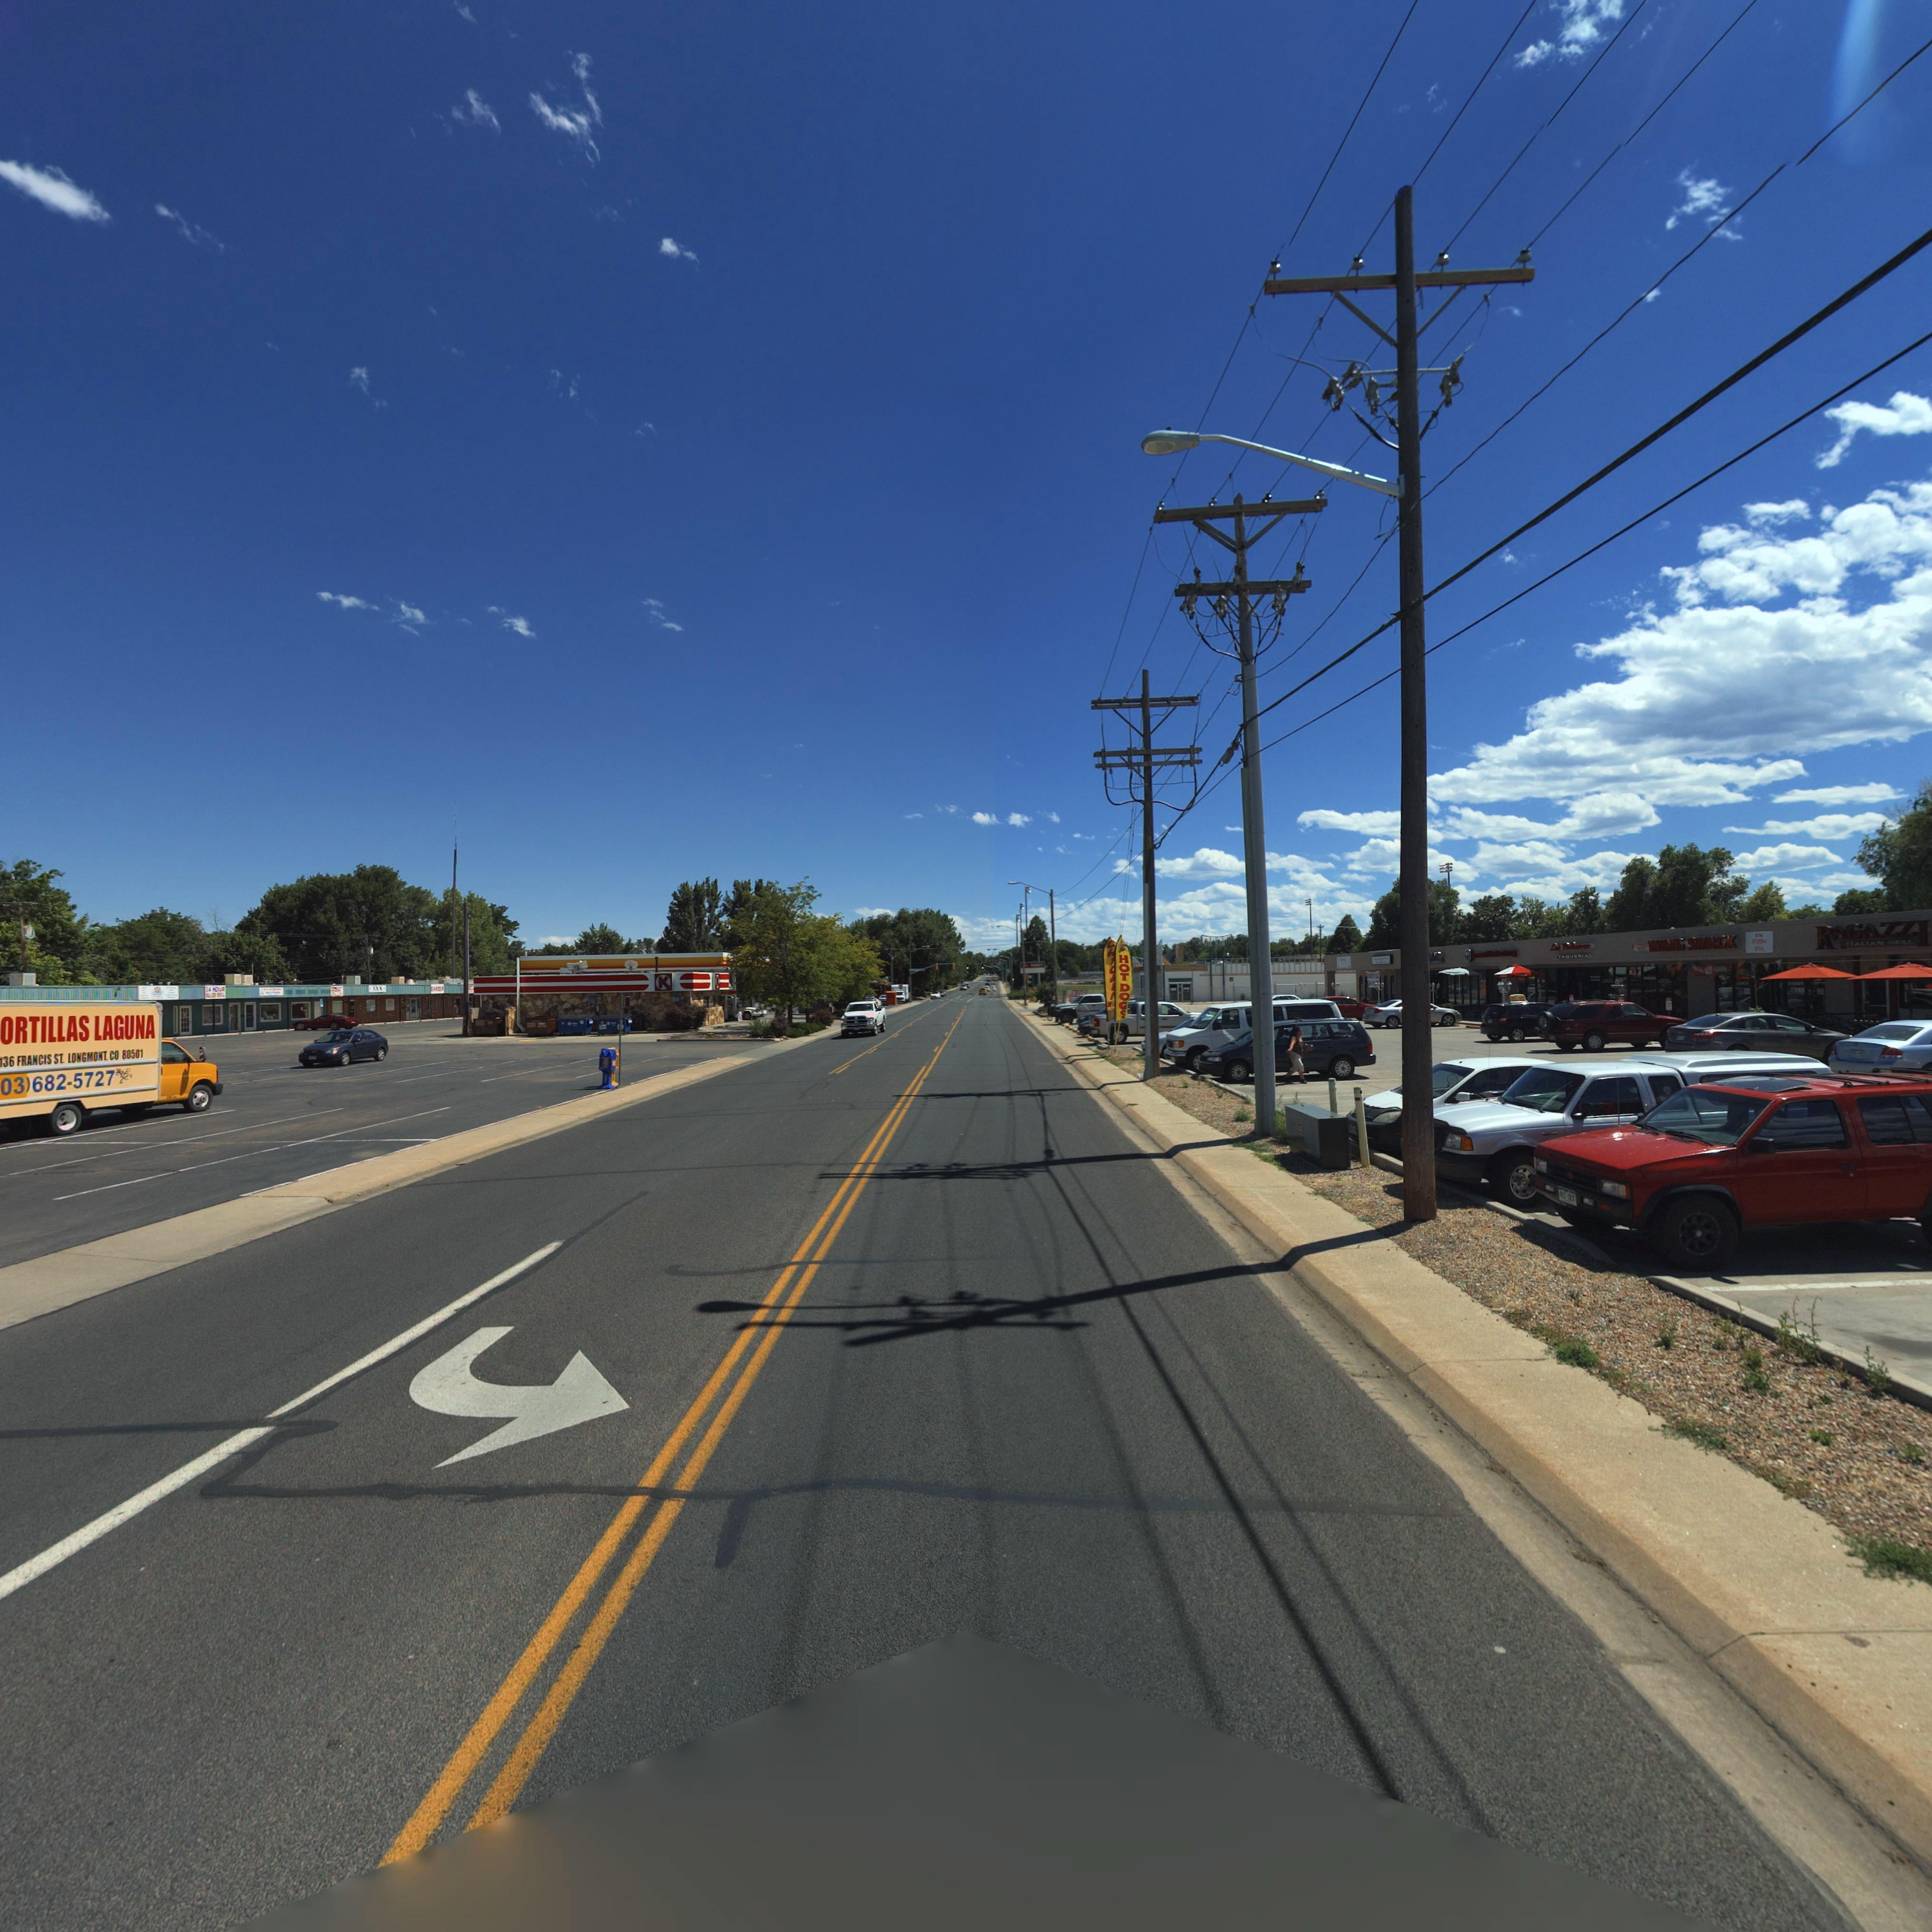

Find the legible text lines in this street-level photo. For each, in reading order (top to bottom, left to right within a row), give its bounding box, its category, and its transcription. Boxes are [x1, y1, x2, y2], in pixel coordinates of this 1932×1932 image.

[1815, 918, 1930, 949] BusinessName: RAGGAZZI
[1549, 940, 1593, 951] BusinessName: Las Palmeras
[1647, 935, 1738, 951] BusinessName: WING SHACK
[1558, 954, 1588, 959] BusinessName: TAQUERIA
[206, 986, 225, 992] BusinessName: 24 HOUR